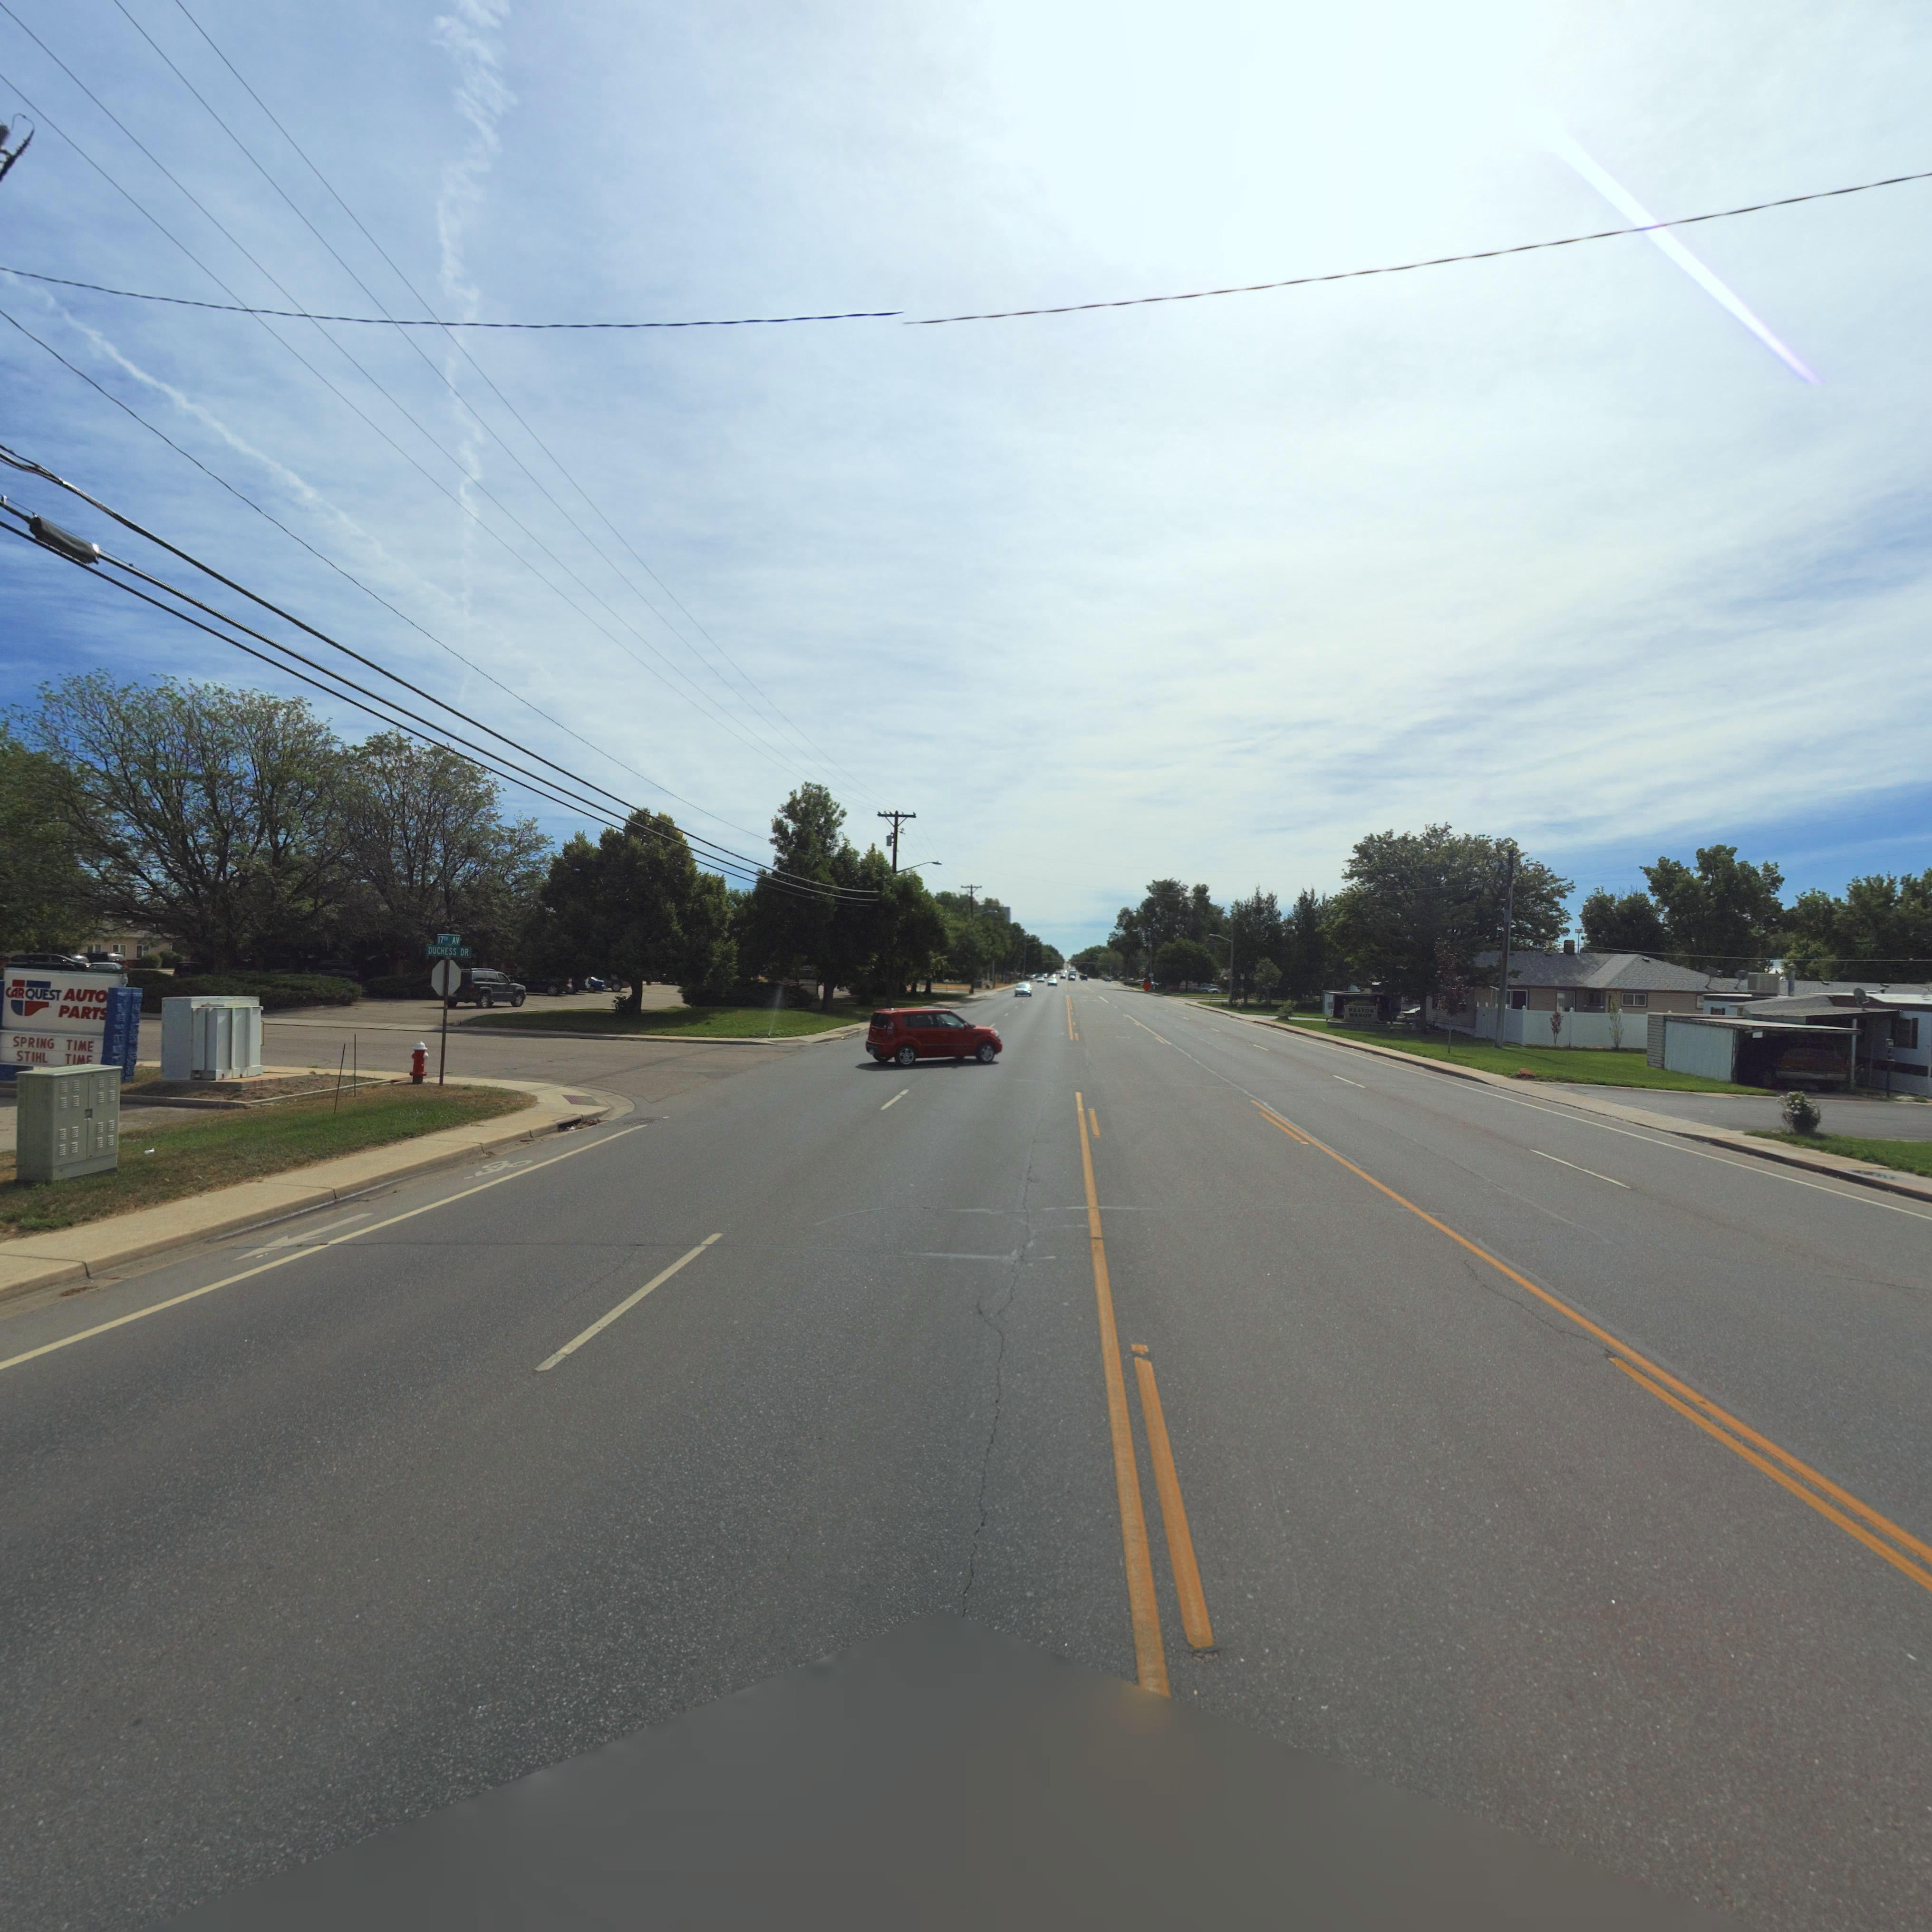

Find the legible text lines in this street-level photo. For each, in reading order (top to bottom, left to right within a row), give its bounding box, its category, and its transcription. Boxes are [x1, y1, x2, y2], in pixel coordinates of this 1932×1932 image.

[438, 936, 460, 944] StreetName: 17TH AV
[428, 946, 469, 956] StreetName: DUCHESS DR
[5, 986, 63, 1001] BusinessName: CAR QUEST
[61, 987, 108, 1003] BusinessName: AUTO
[58, 1005, 108, 1021] BusinessName: PART*
[1349, 1013, 1372, 1018] BusinessName: *A*O*
[1348, 1007, 1374, 1013] BusinessName: **STON